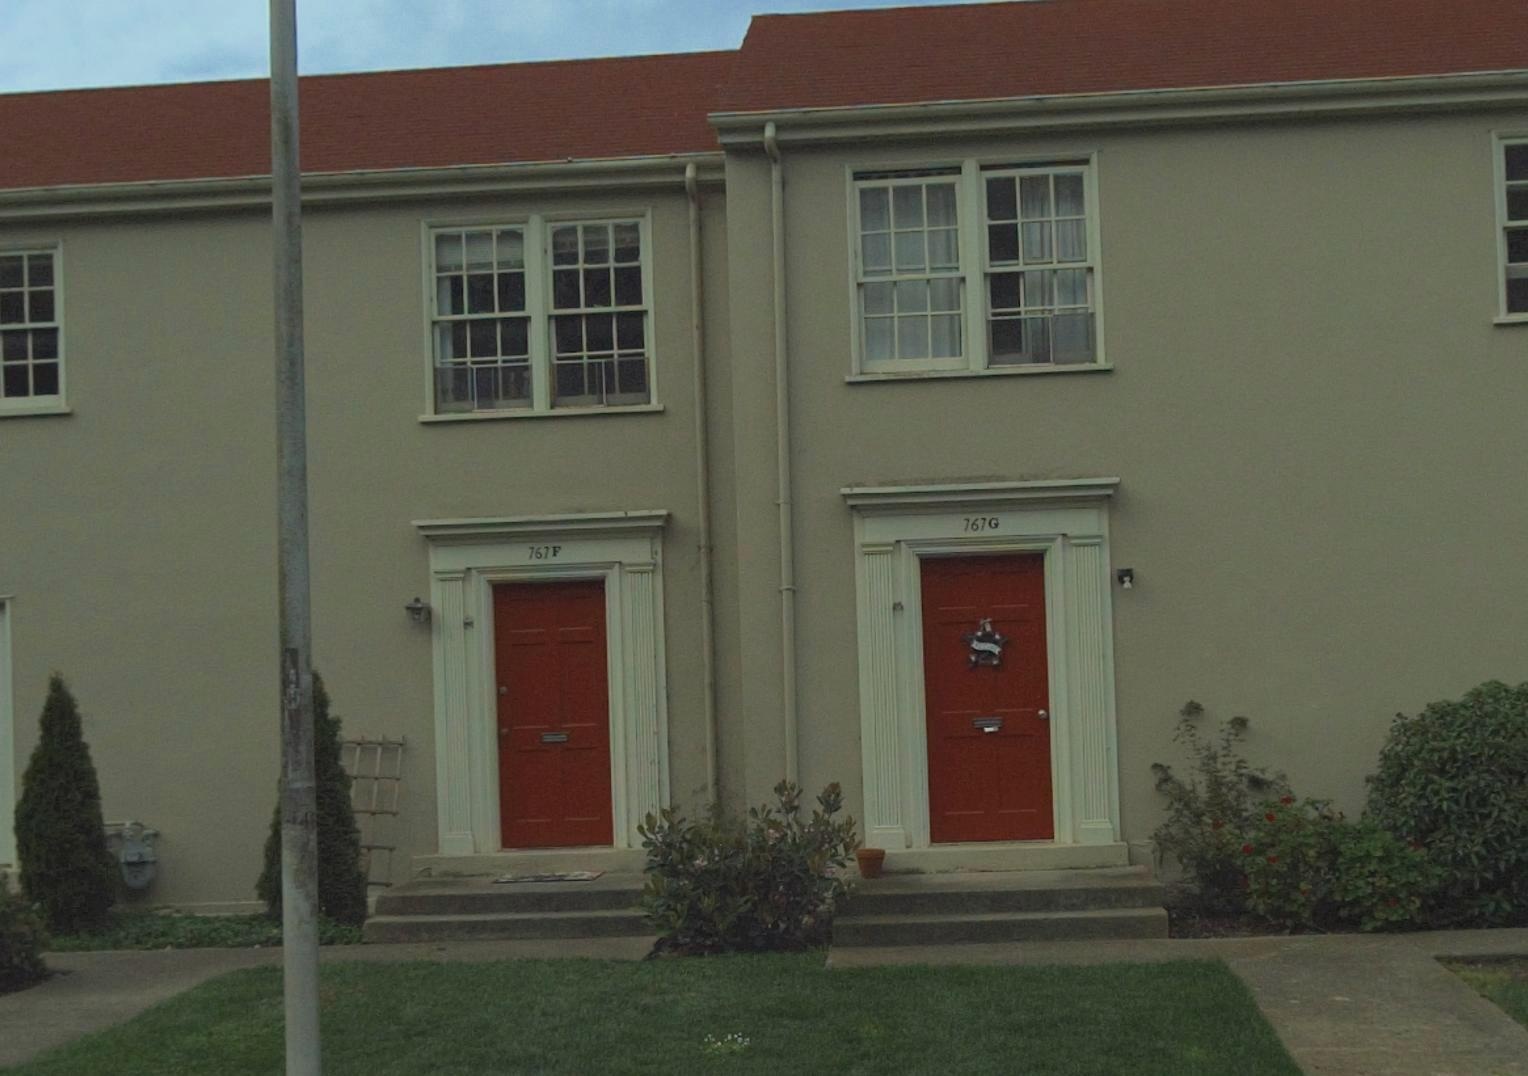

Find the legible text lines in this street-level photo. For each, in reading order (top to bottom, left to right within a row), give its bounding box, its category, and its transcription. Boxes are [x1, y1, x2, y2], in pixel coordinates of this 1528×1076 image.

[963, 516, 1000, 534] StreetNumber: 767G
[527, 544, 562, 561] StreetNumber: 767F